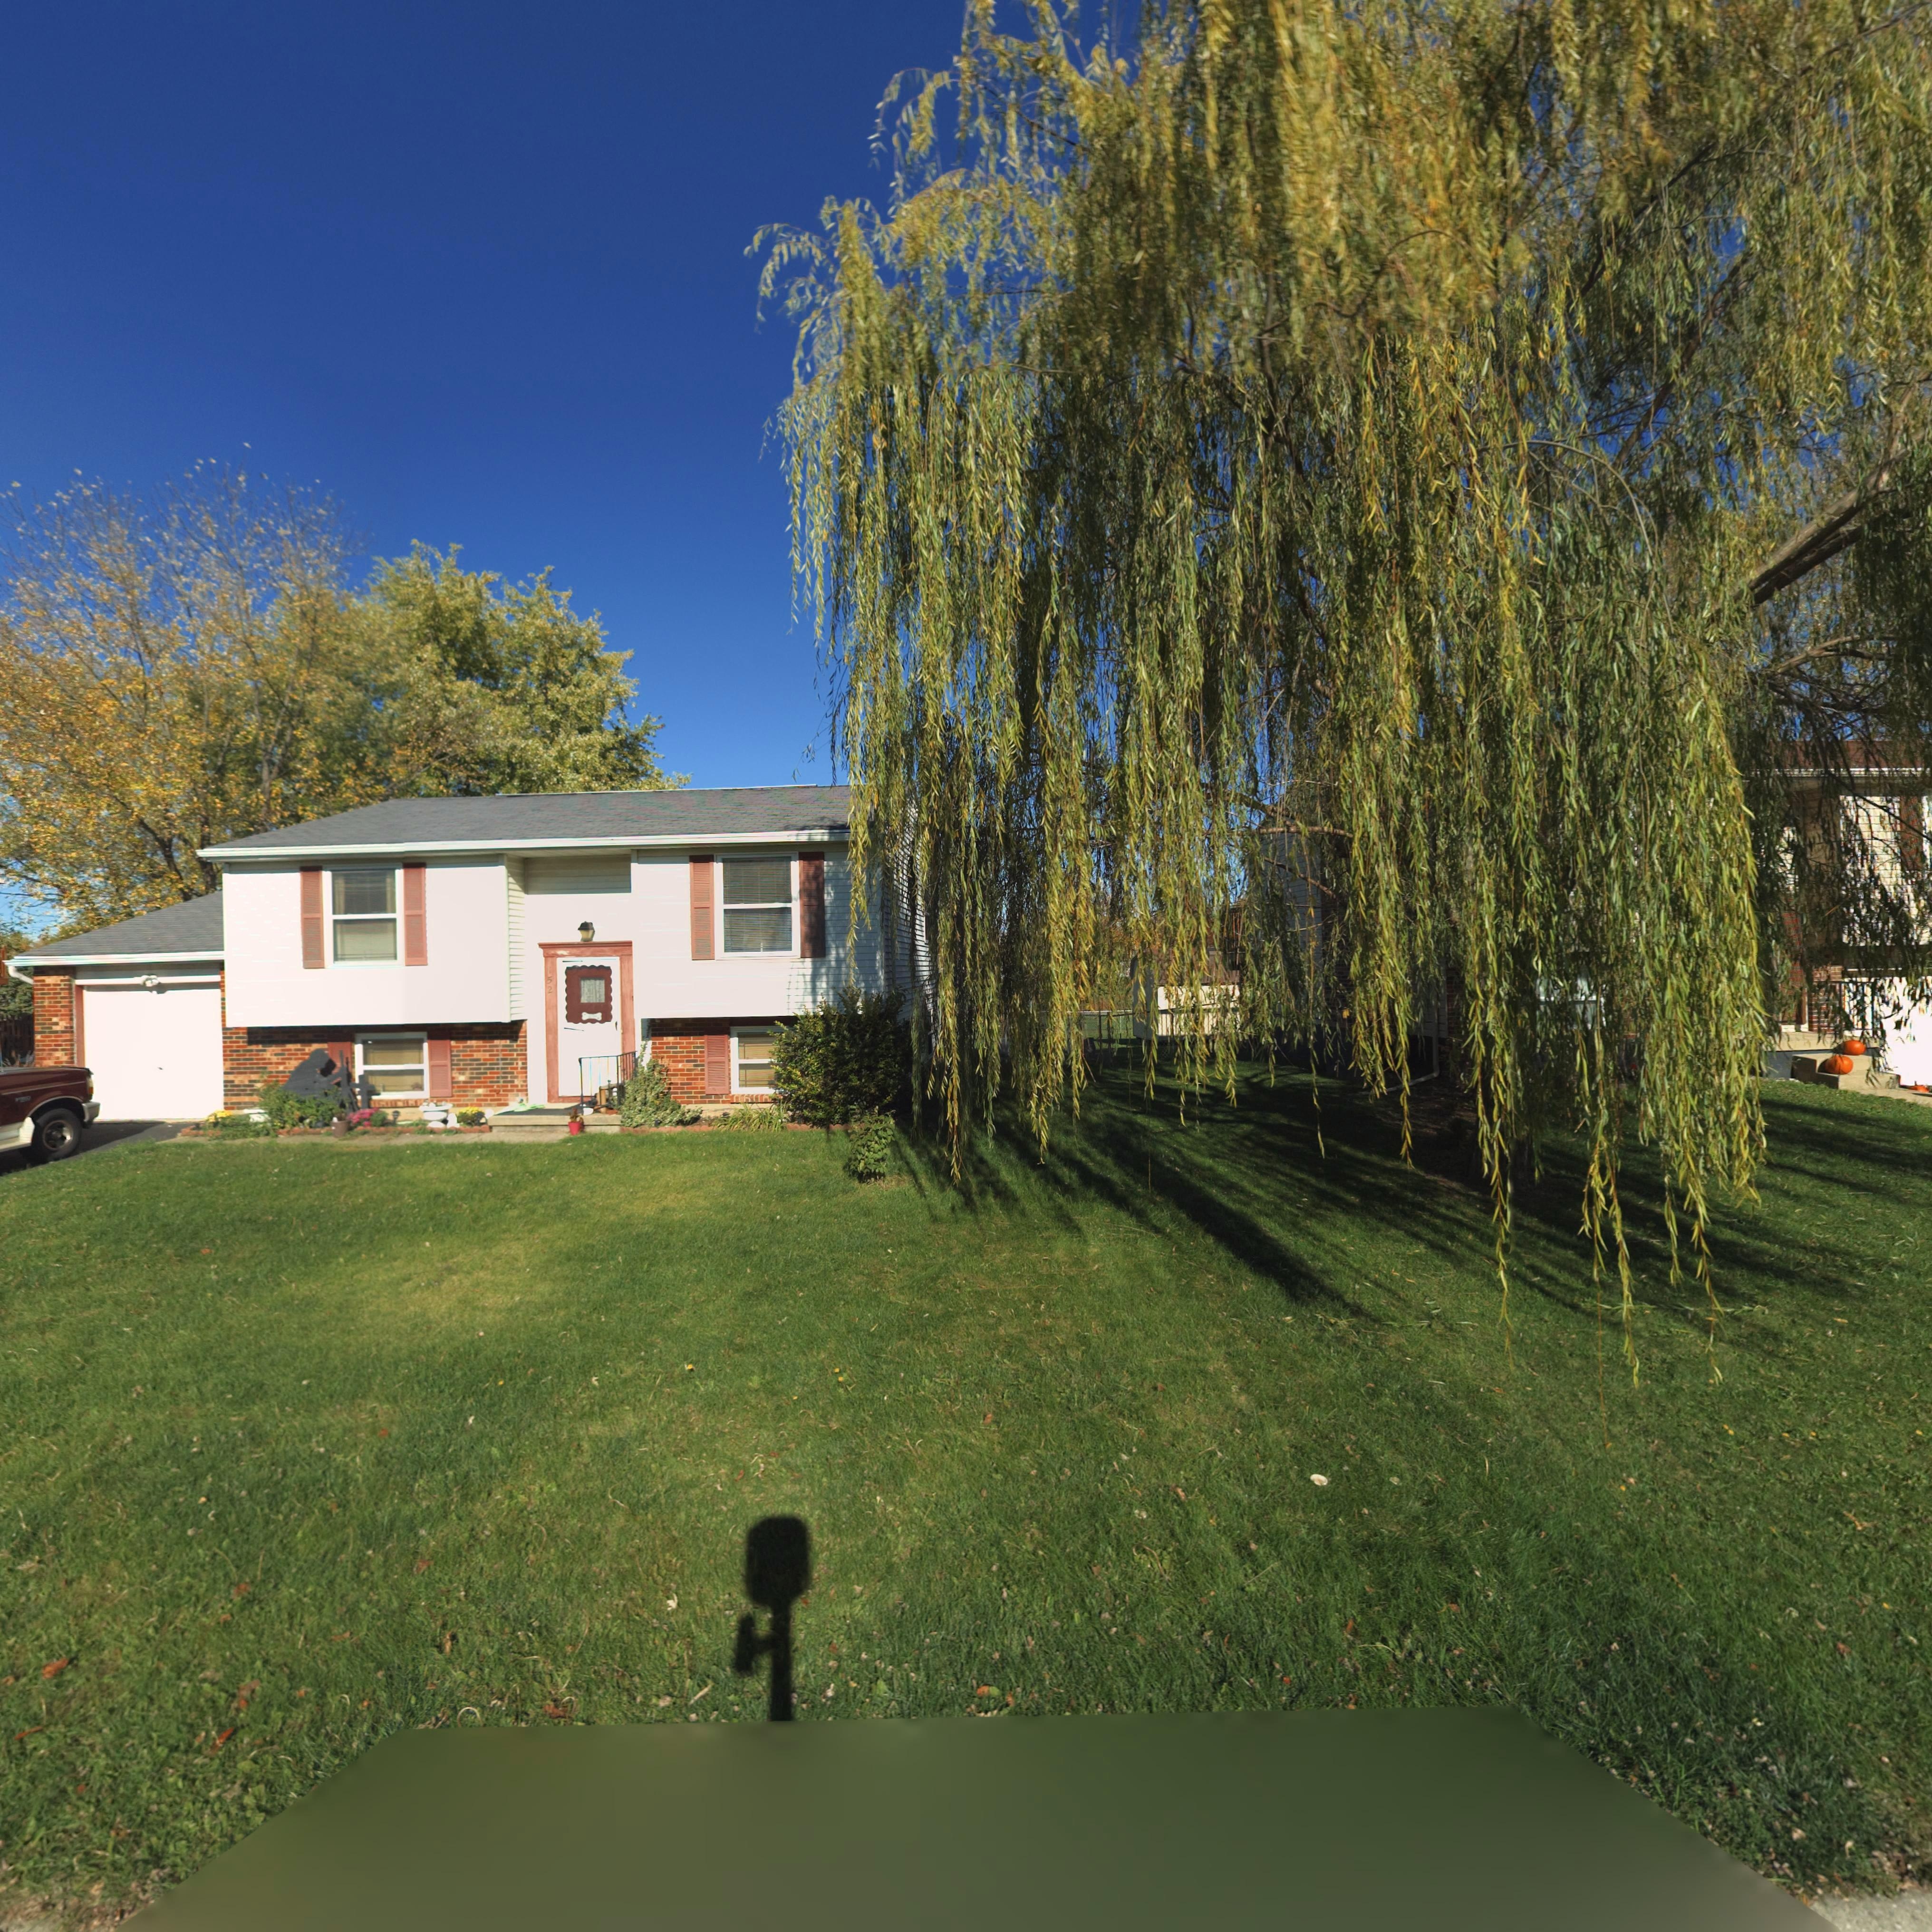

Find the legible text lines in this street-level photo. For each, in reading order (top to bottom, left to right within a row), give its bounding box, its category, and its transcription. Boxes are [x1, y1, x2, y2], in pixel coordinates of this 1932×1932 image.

[545, 965, 553, 994] StreetNumber: 152